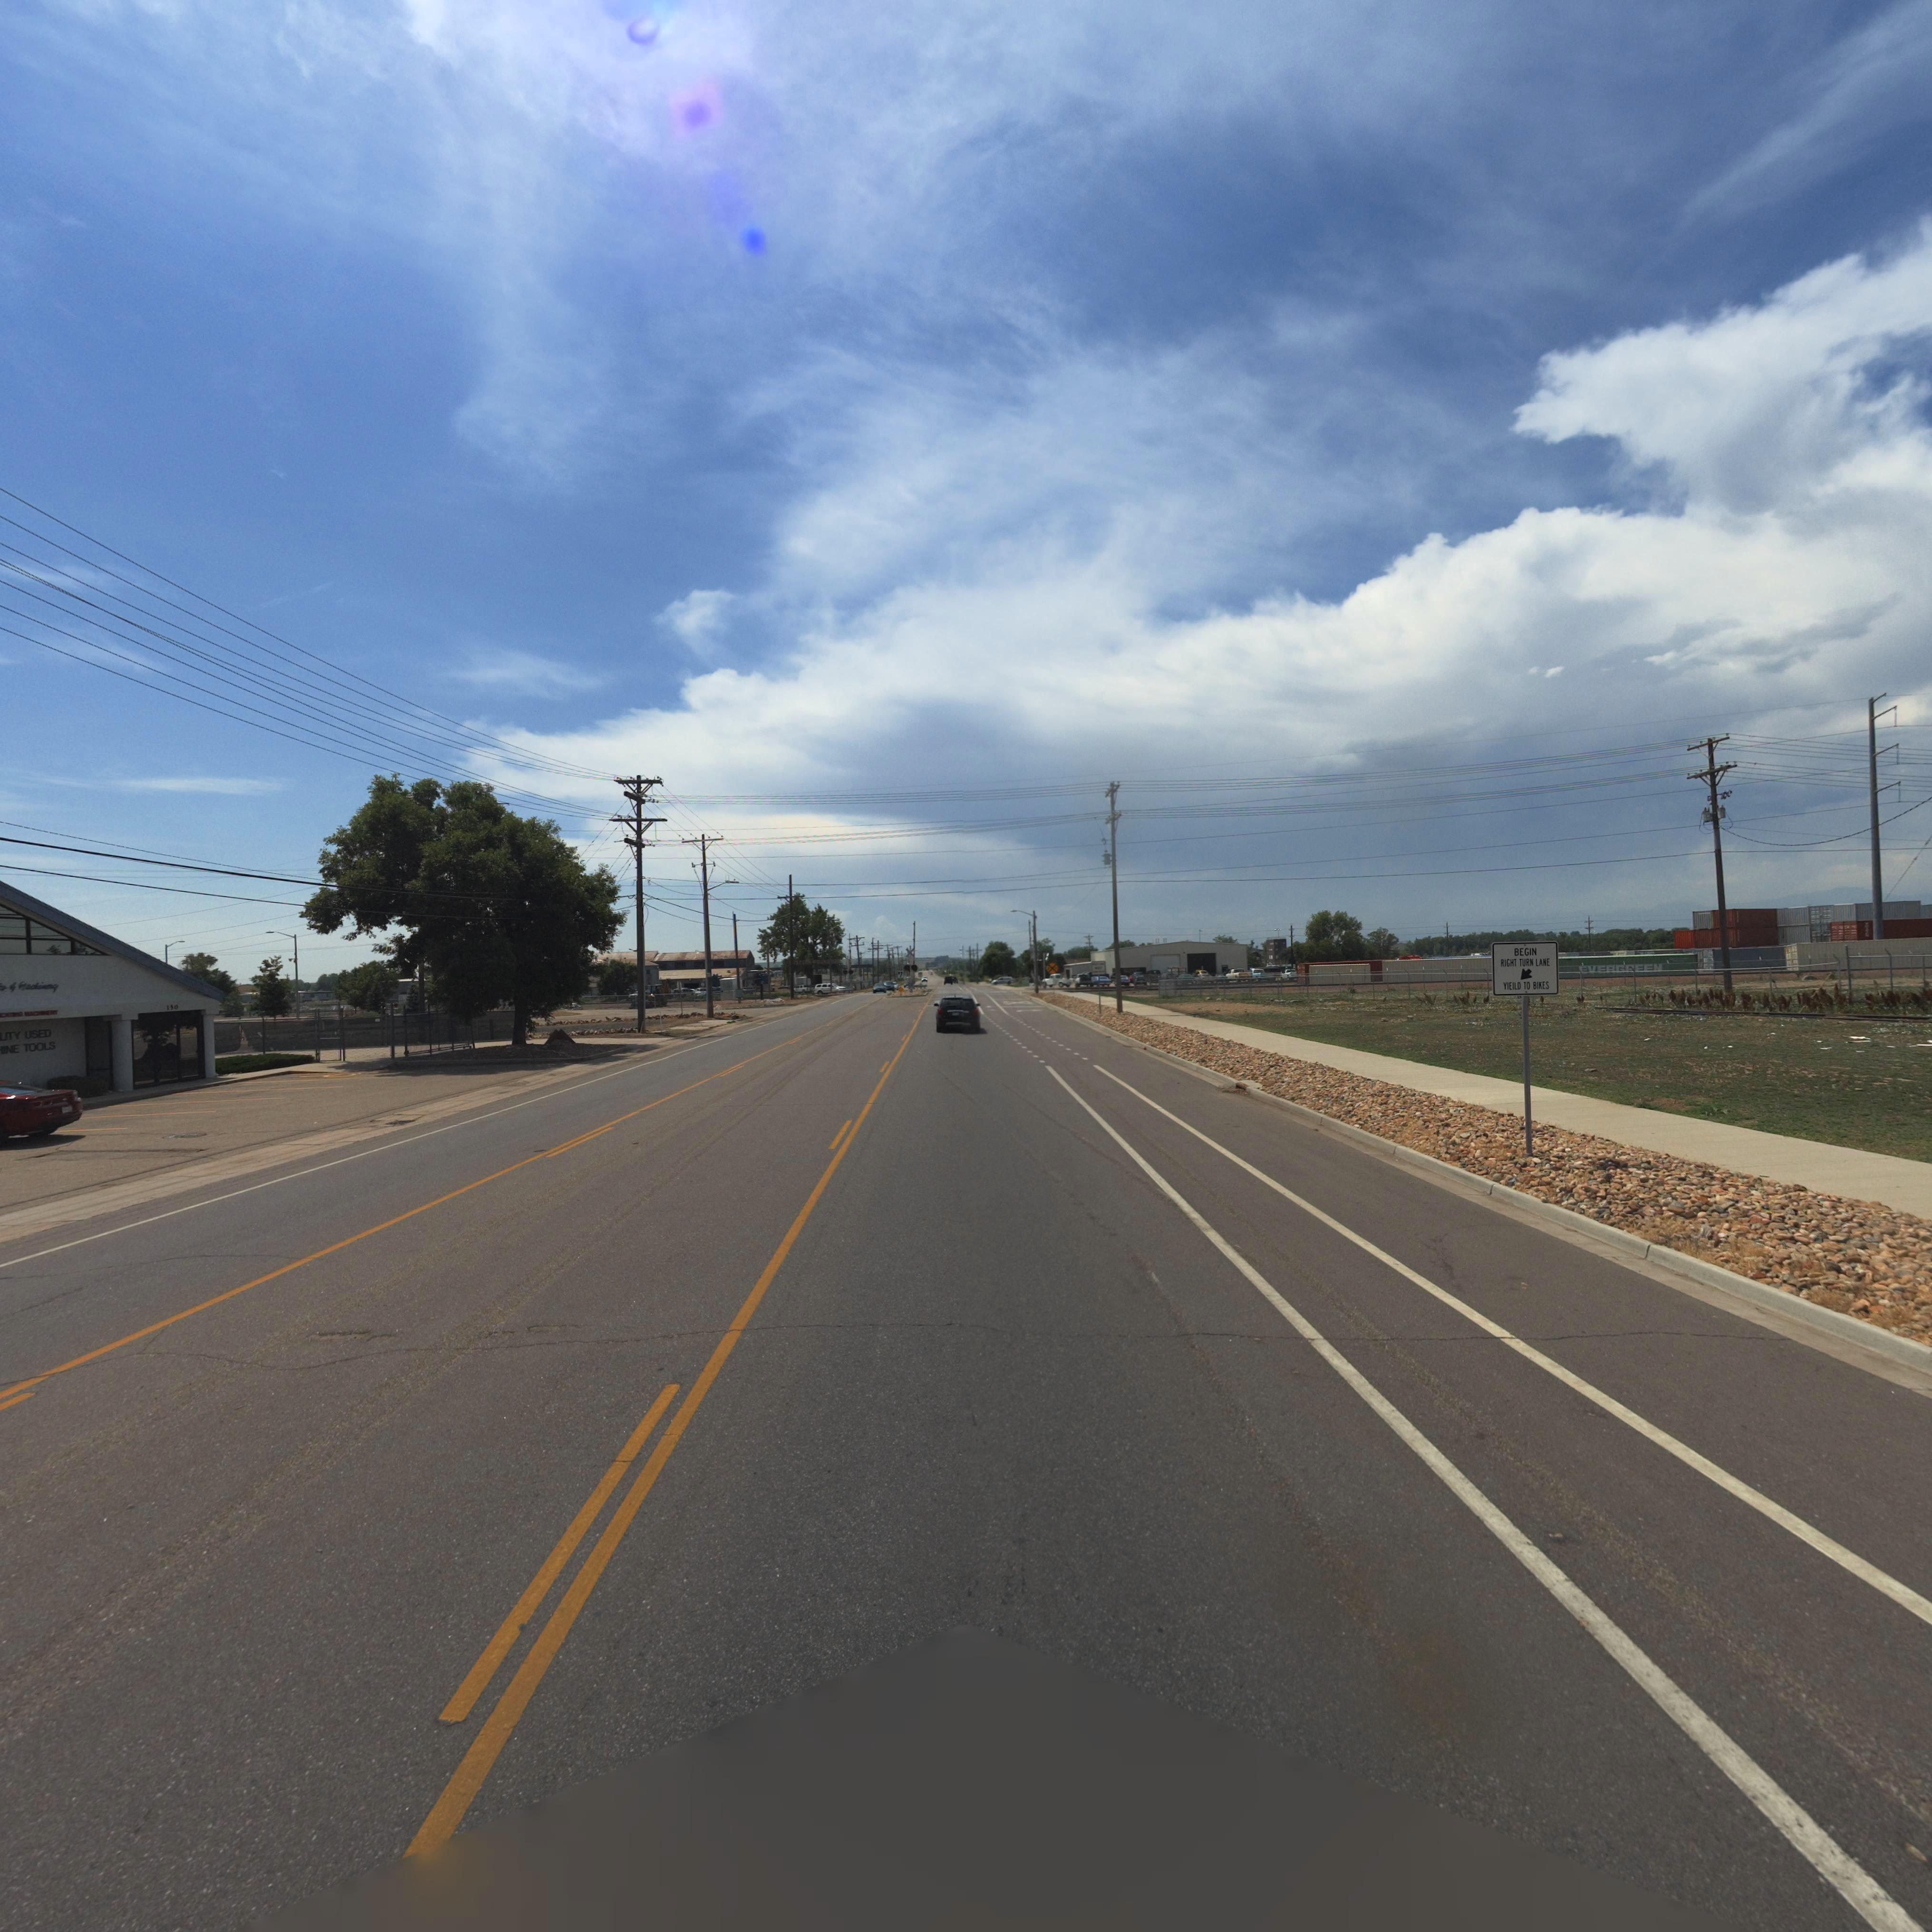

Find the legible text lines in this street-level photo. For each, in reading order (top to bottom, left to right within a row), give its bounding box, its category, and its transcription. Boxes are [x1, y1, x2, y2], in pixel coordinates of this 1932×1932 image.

[793, 958, 842, 964] BusinessName: ESTERN FOUNDARIES
[18, 980, 59, 993] BusinessName: Machinery
[166, 1004, 179, 1010] StreetNumber: 150